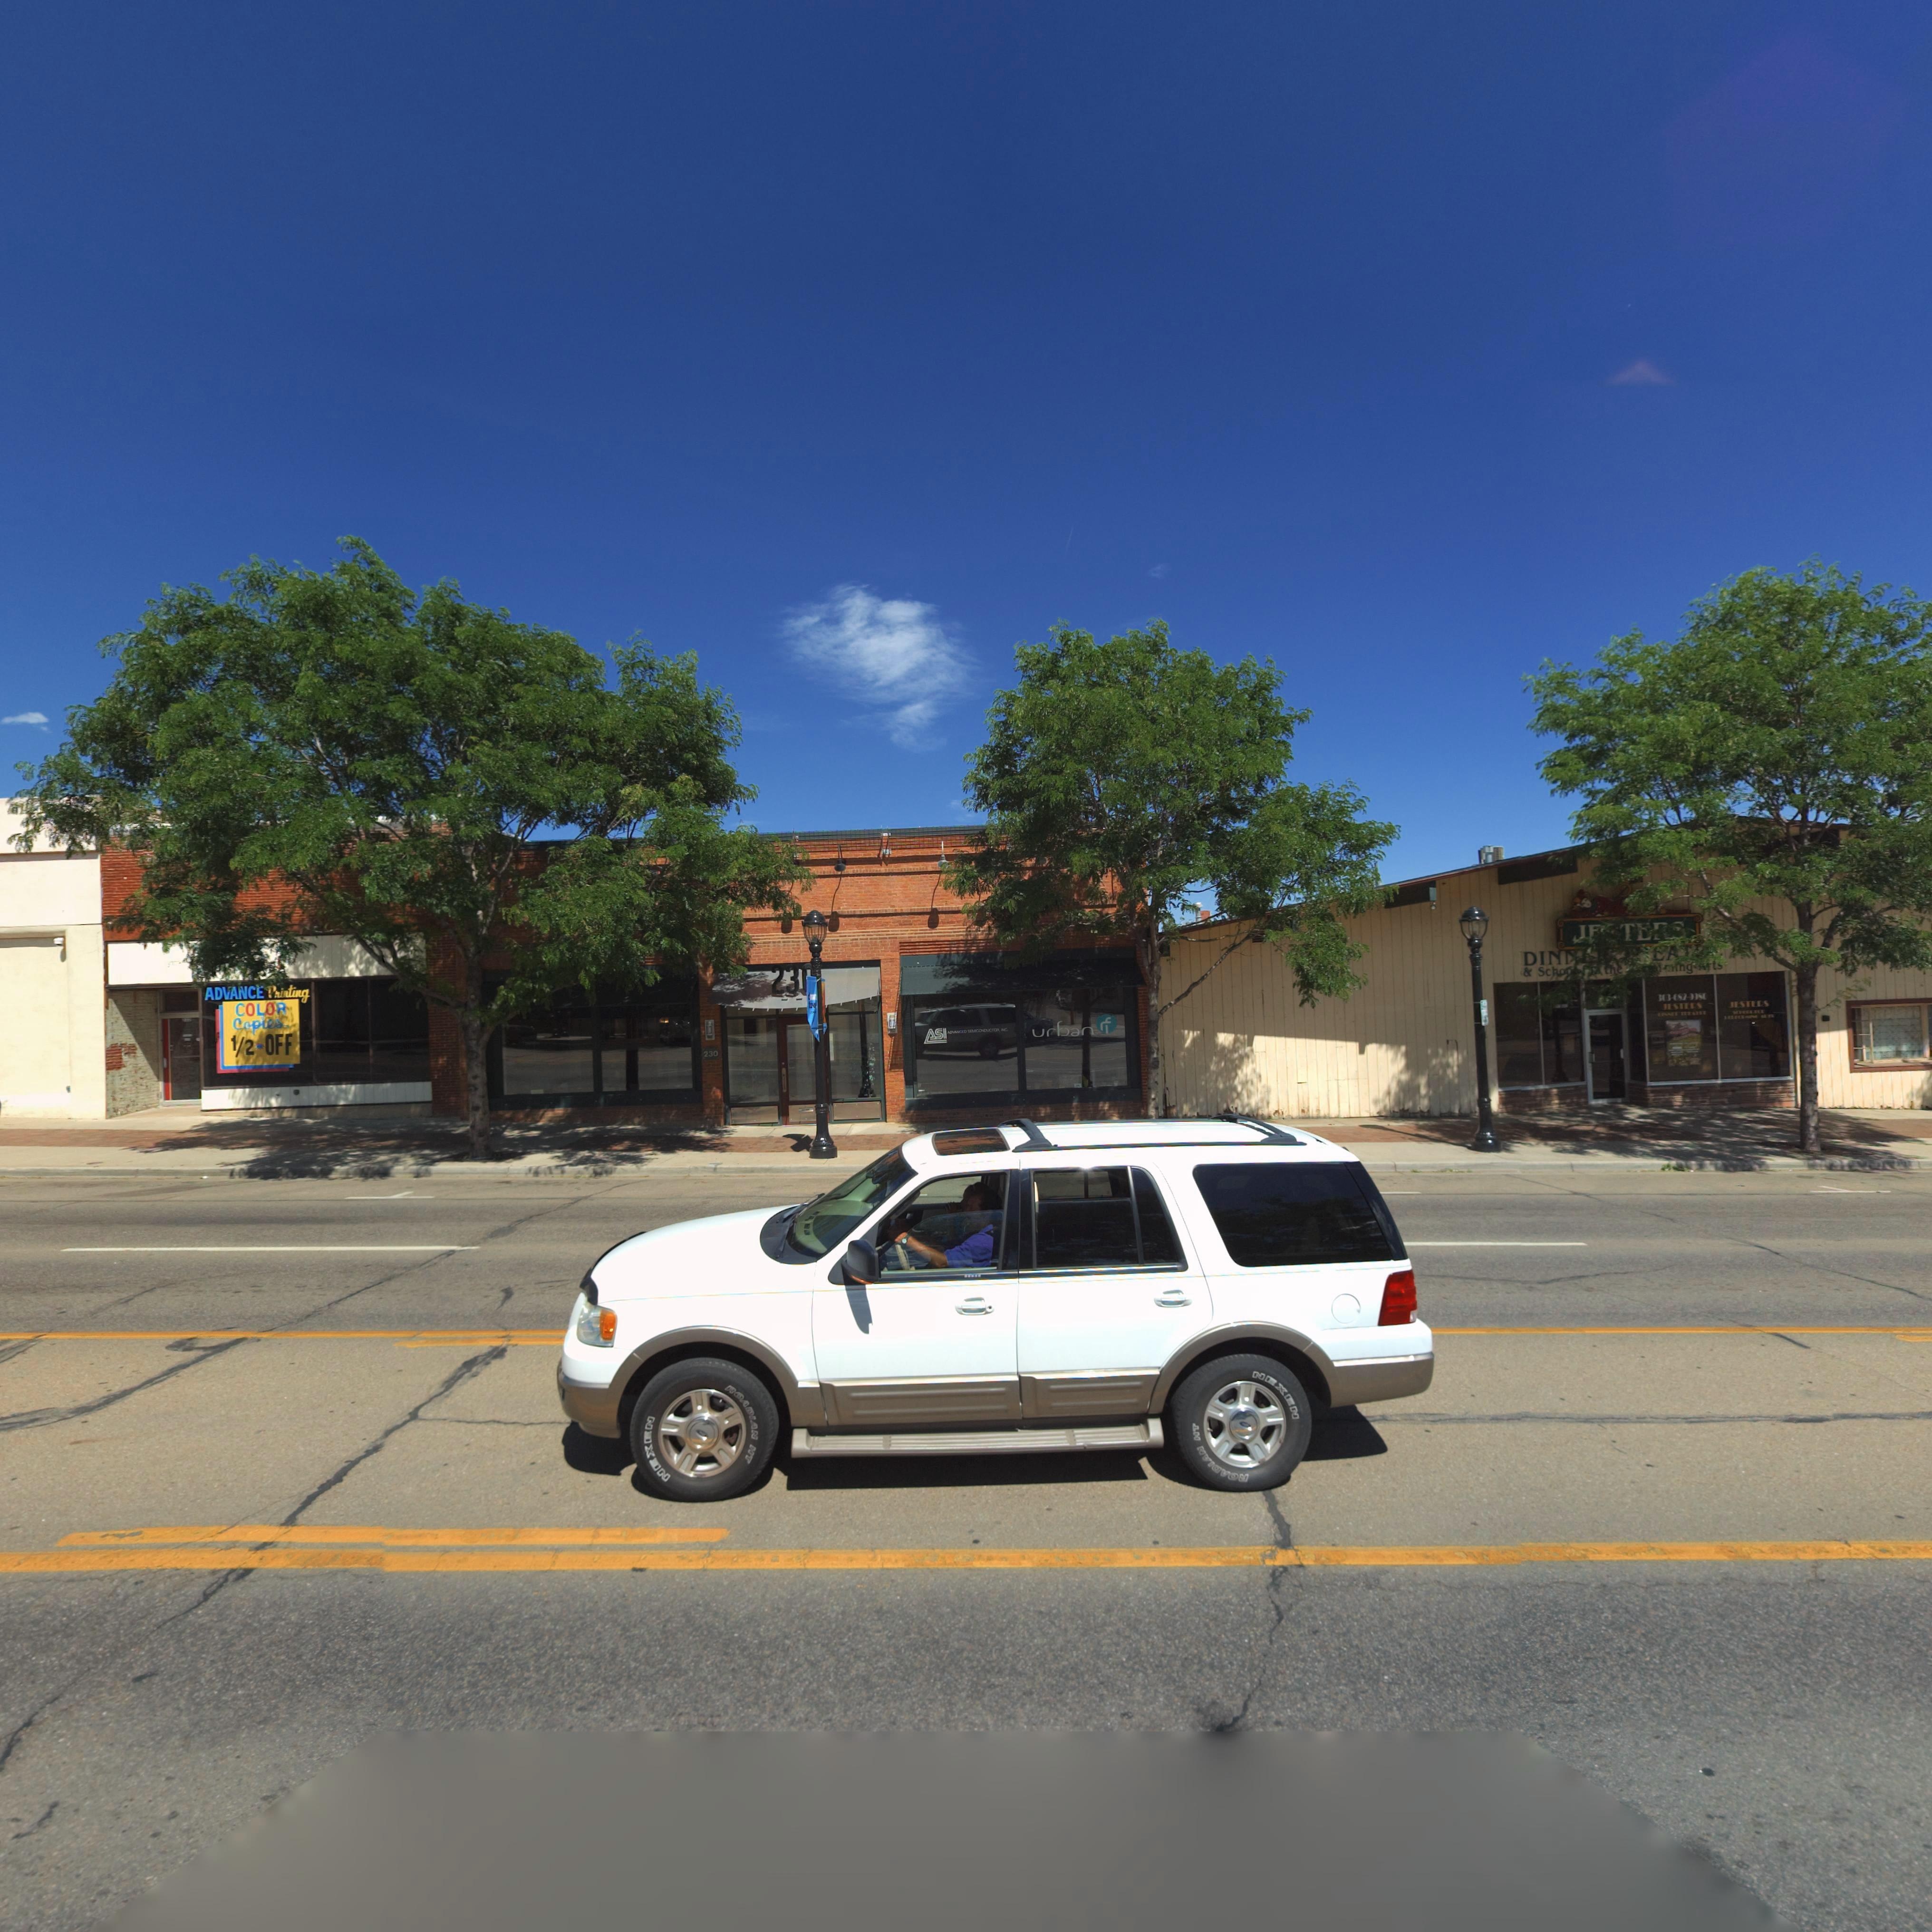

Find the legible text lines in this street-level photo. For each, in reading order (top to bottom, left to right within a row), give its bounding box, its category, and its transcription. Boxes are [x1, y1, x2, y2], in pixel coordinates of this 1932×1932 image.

[203, 984, 311, 1004] BusinessName: ADVANCE Printing
[703, 1050, 718, 1057] StreetNumber: 230